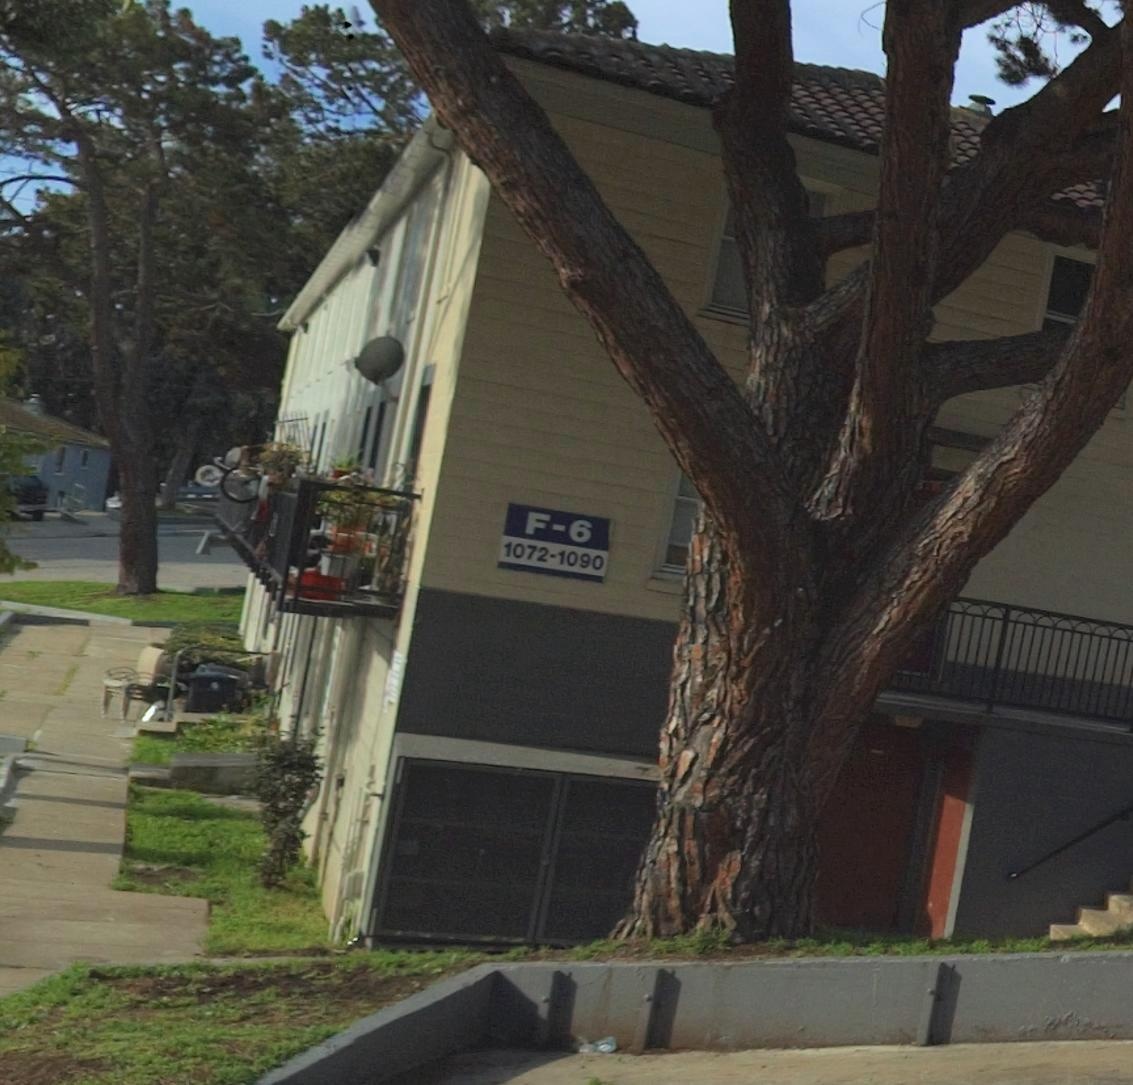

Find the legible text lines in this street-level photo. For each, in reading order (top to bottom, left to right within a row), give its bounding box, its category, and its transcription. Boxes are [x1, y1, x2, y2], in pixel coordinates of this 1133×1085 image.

[522, 509, 595, 546] None: F-6
[502, 539, 552, 564] StreetNumber: 1072
[555, 547, 607, 573] StreetNumber: 1090